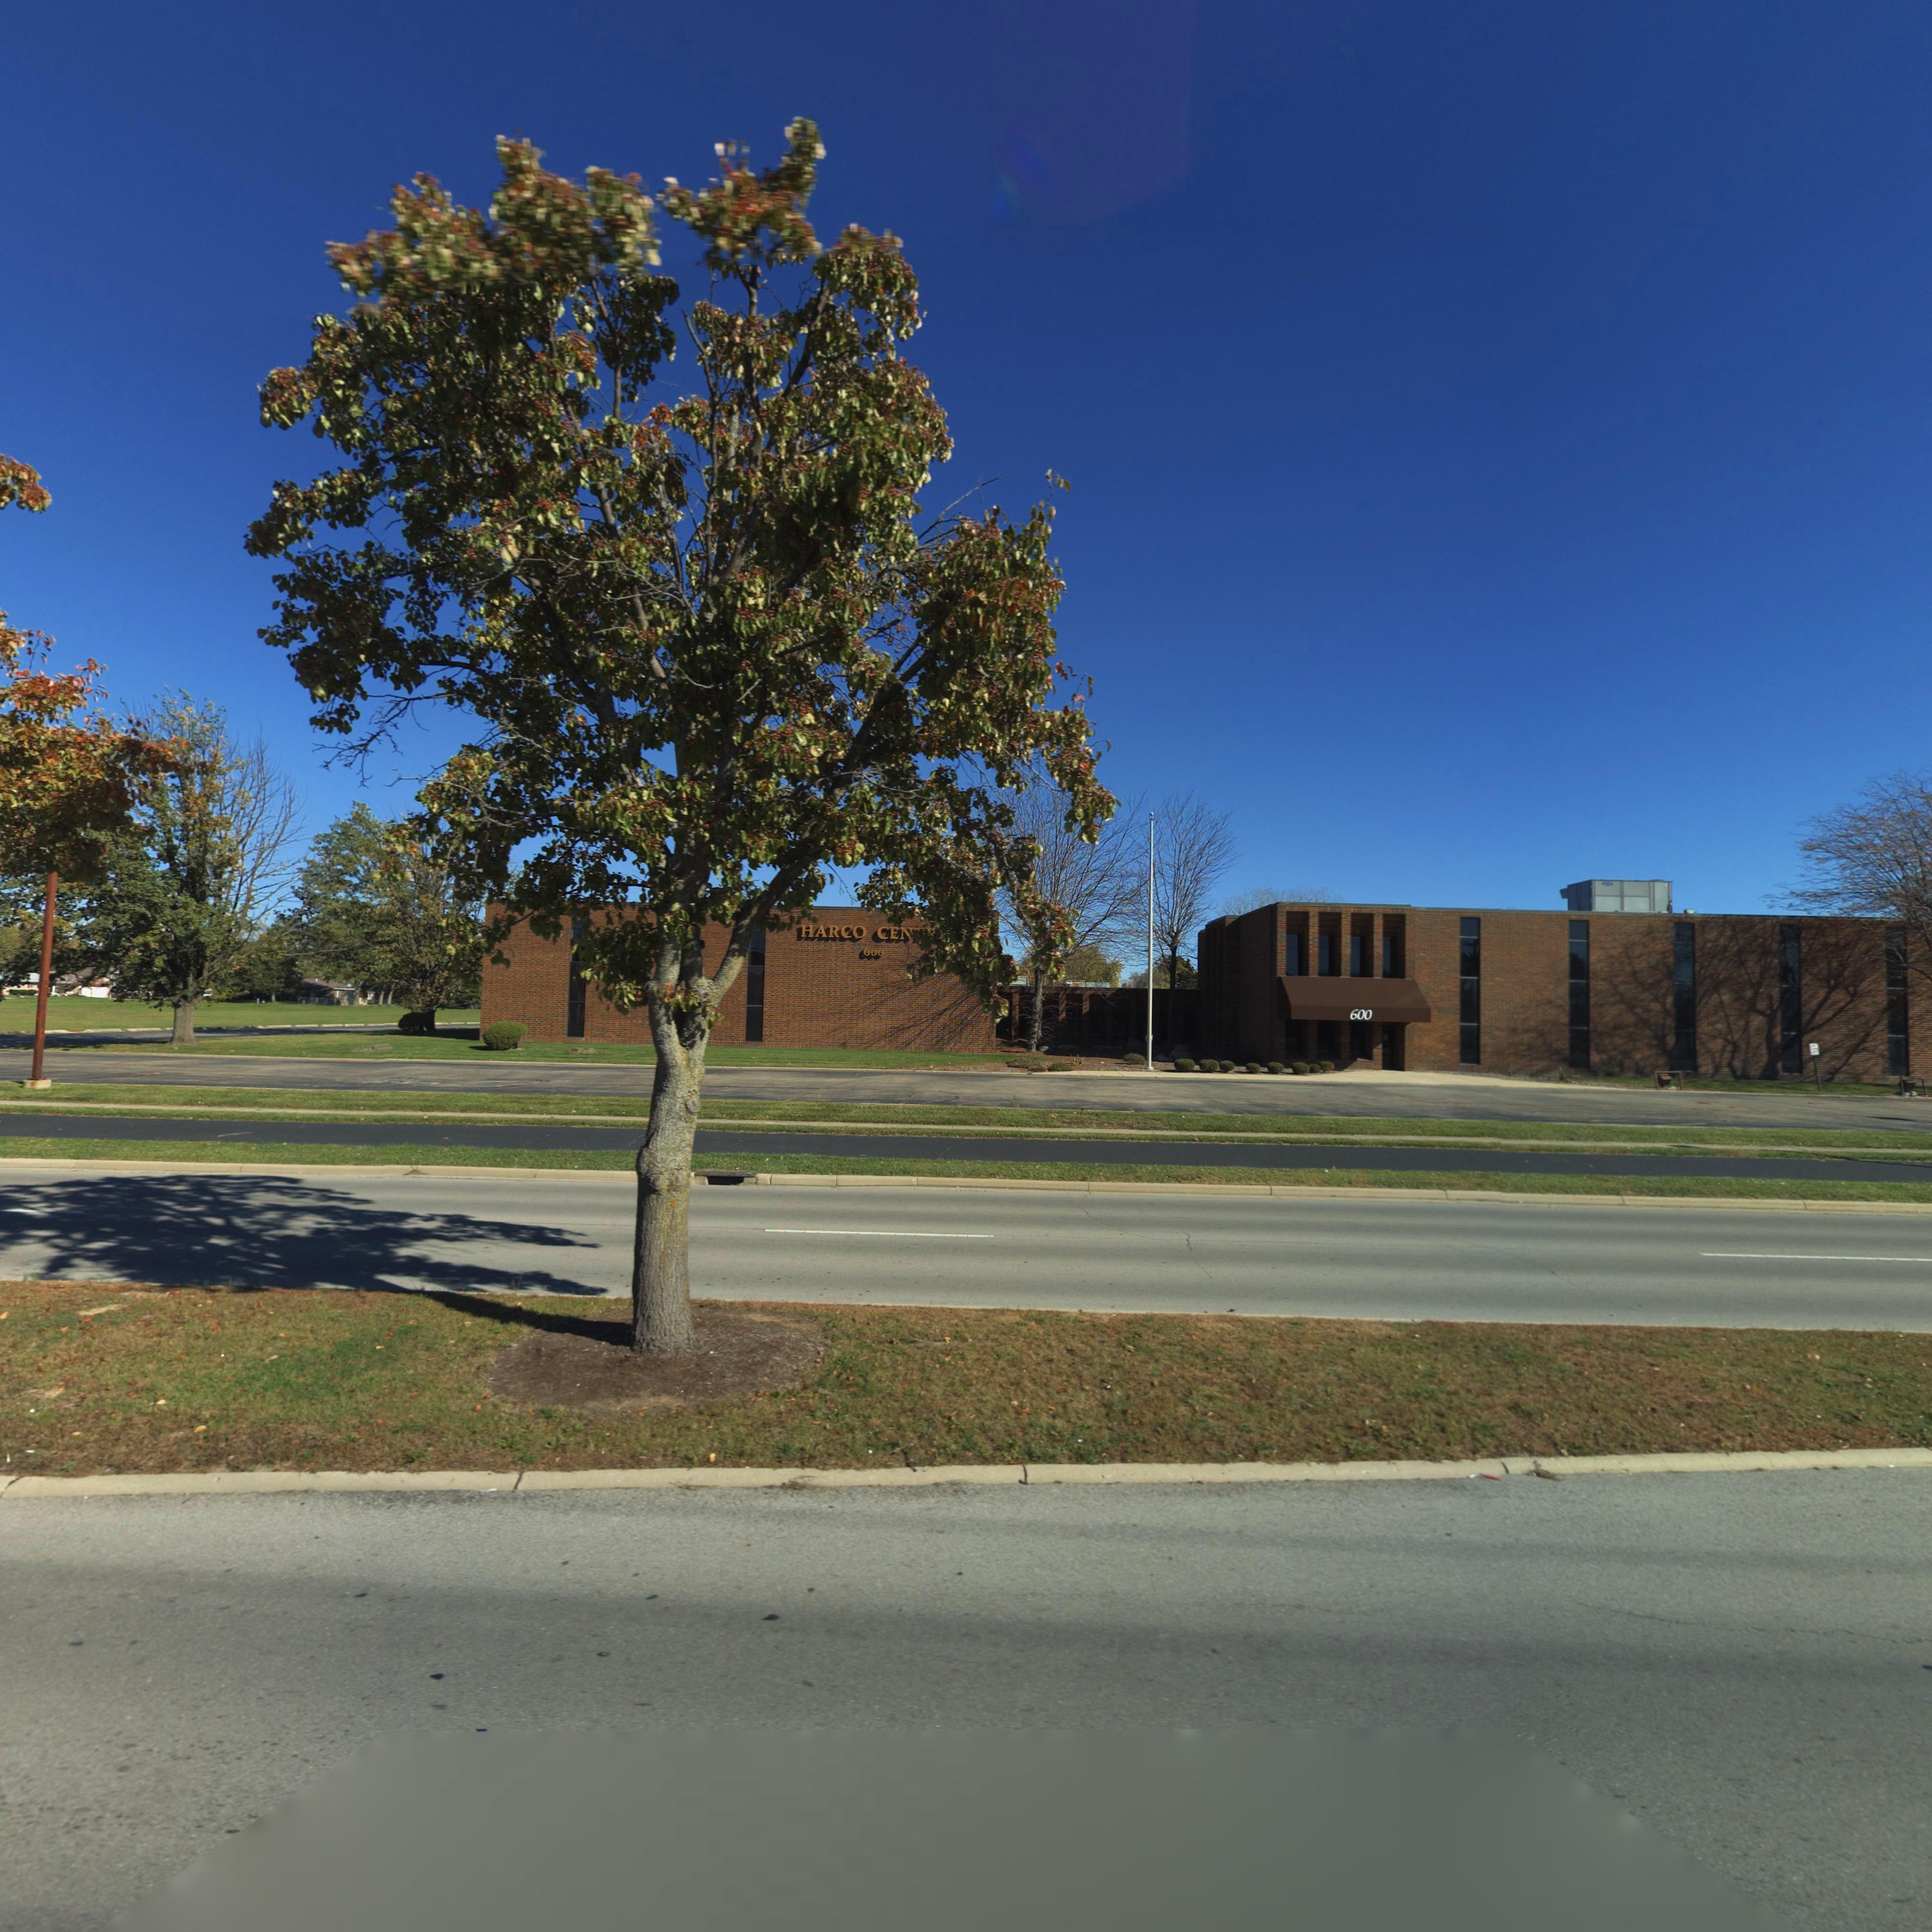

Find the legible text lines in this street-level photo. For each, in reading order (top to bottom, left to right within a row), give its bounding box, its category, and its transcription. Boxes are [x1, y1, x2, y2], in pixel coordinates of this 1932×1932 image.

[800, 924, 899, 940] BusinessName: HARCO CE
[862, 945, 885, 957] StreetNumber: 600
[1348, 1008, 1374, 1022] StreetNumber: 600